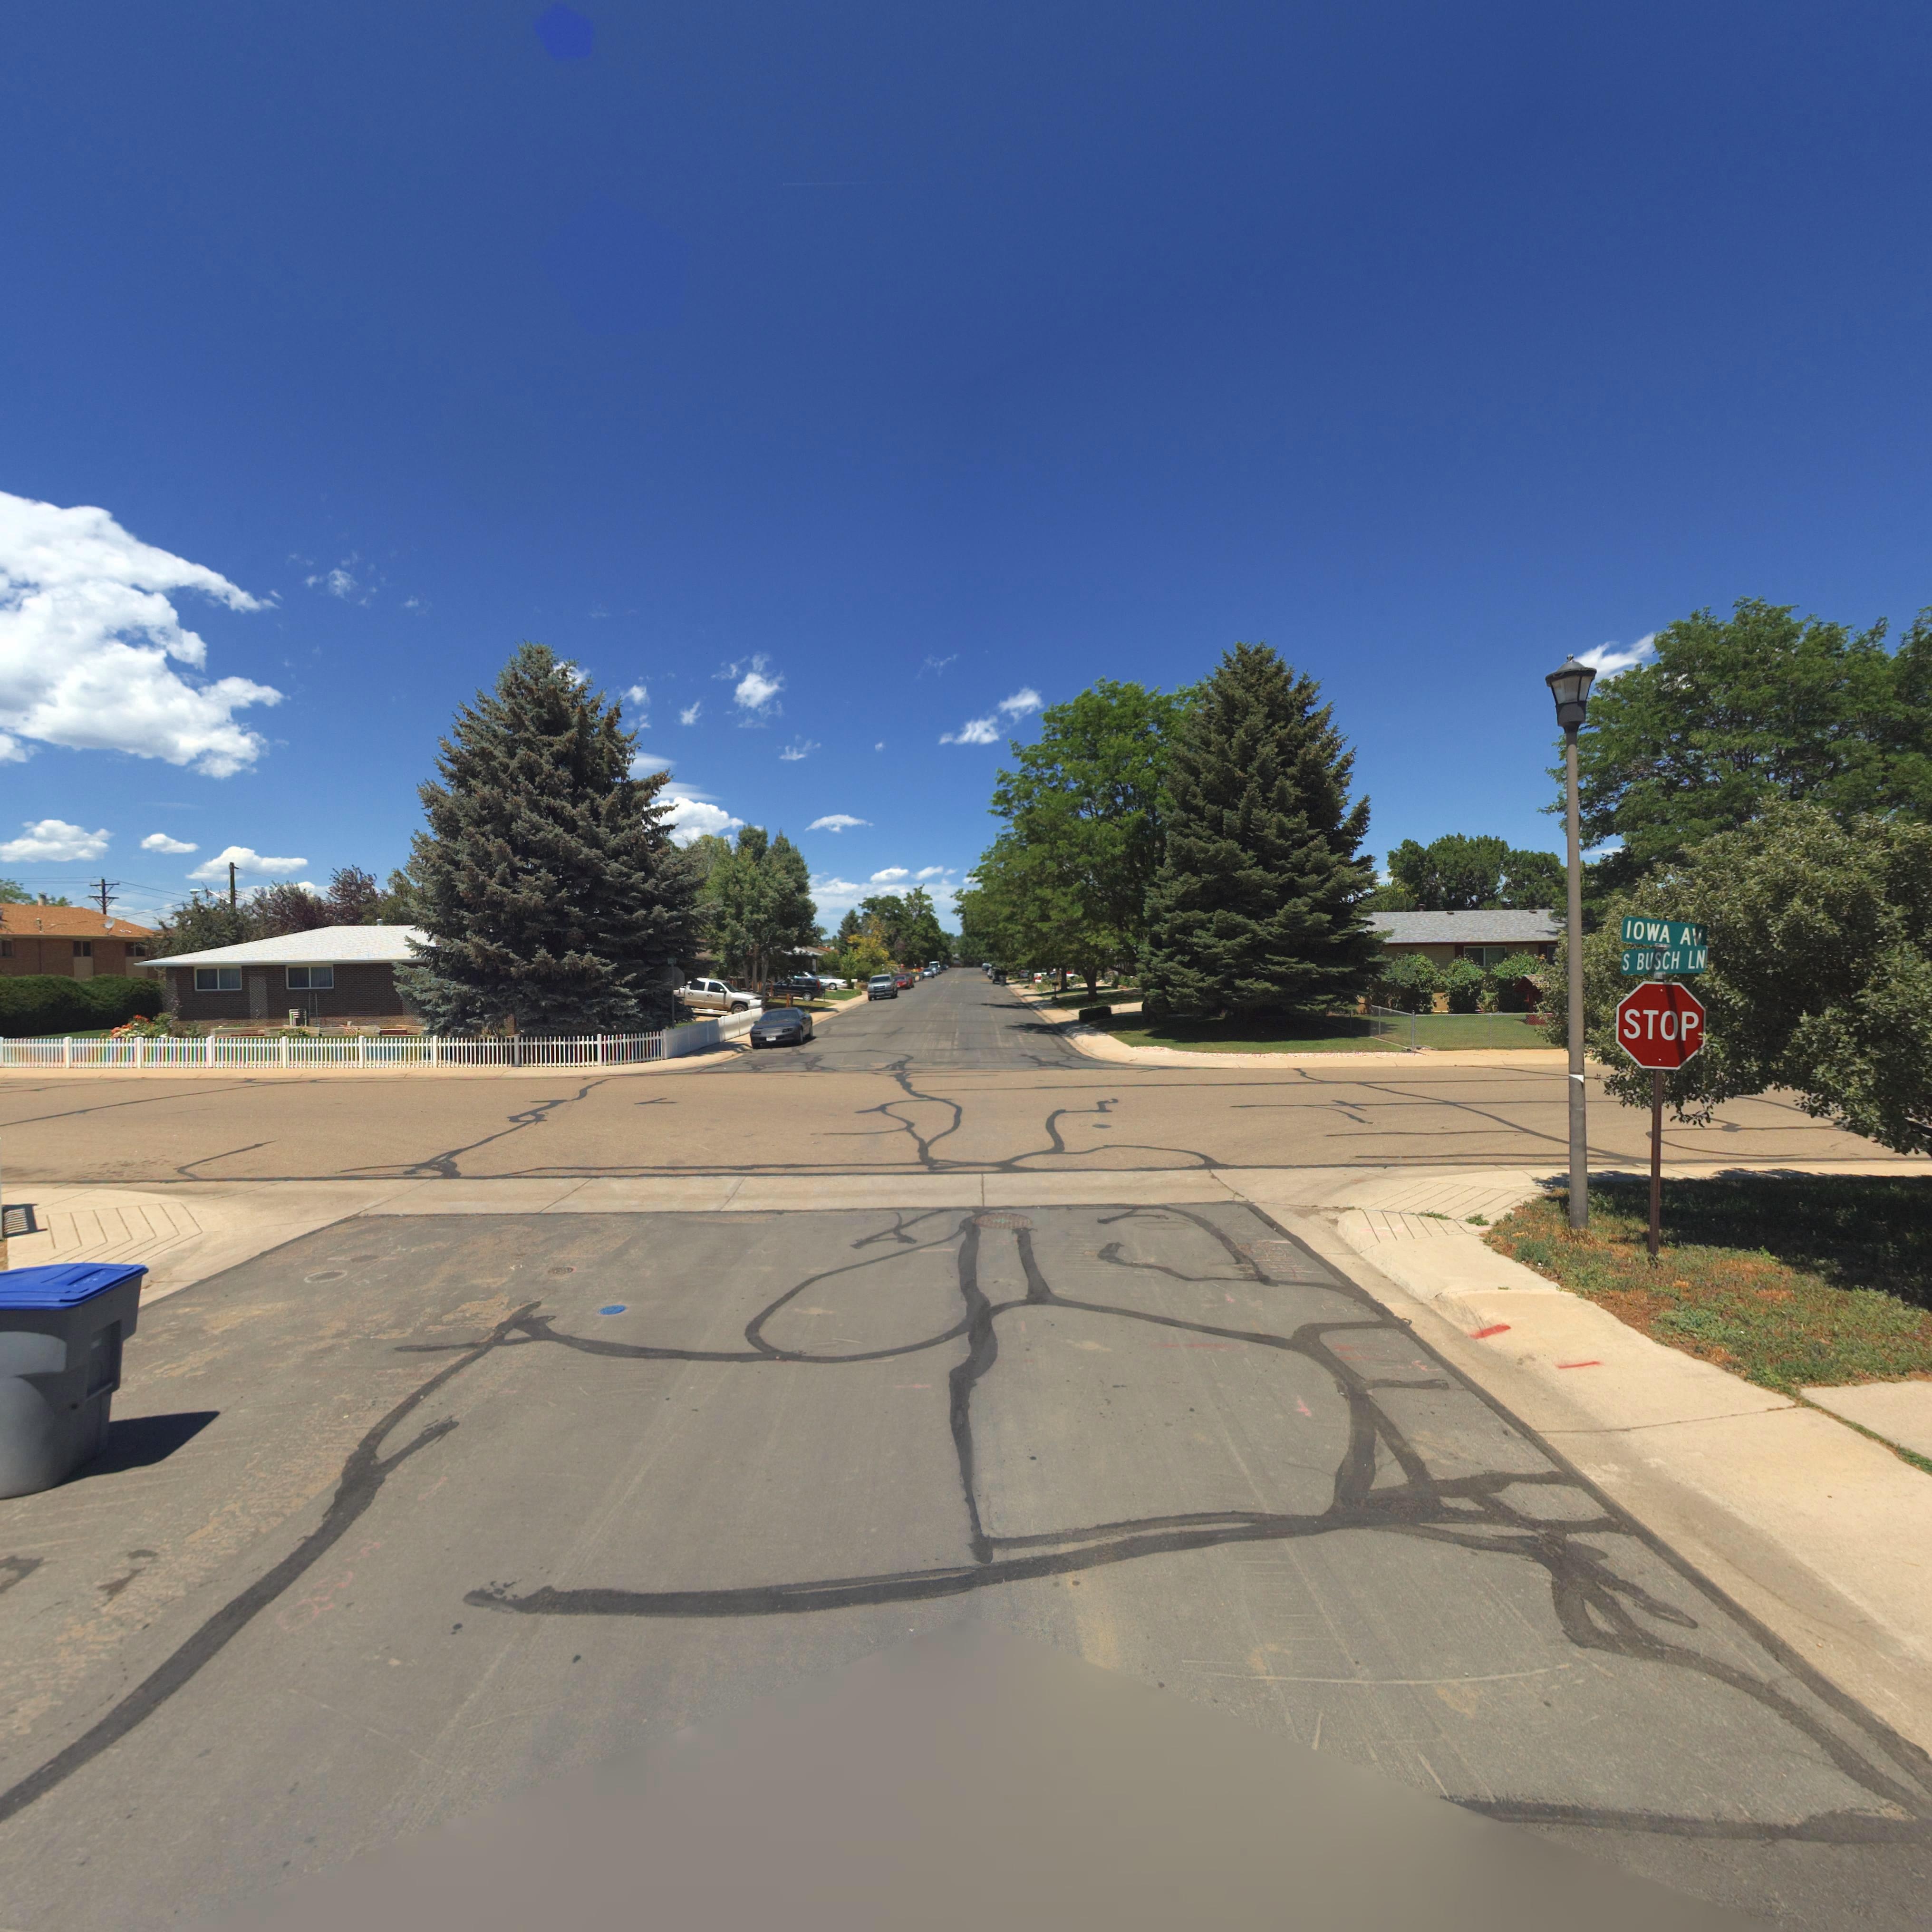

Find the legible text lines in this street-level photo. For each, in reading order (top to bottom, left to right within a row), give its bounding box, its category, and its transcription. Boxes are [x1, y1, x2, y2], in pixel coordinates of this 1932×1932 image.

[1625, 920, 1704, 947] StreetNumber: IOWA AV
[1622, 949, 1706, 971] StreetName: S BUSCH LN